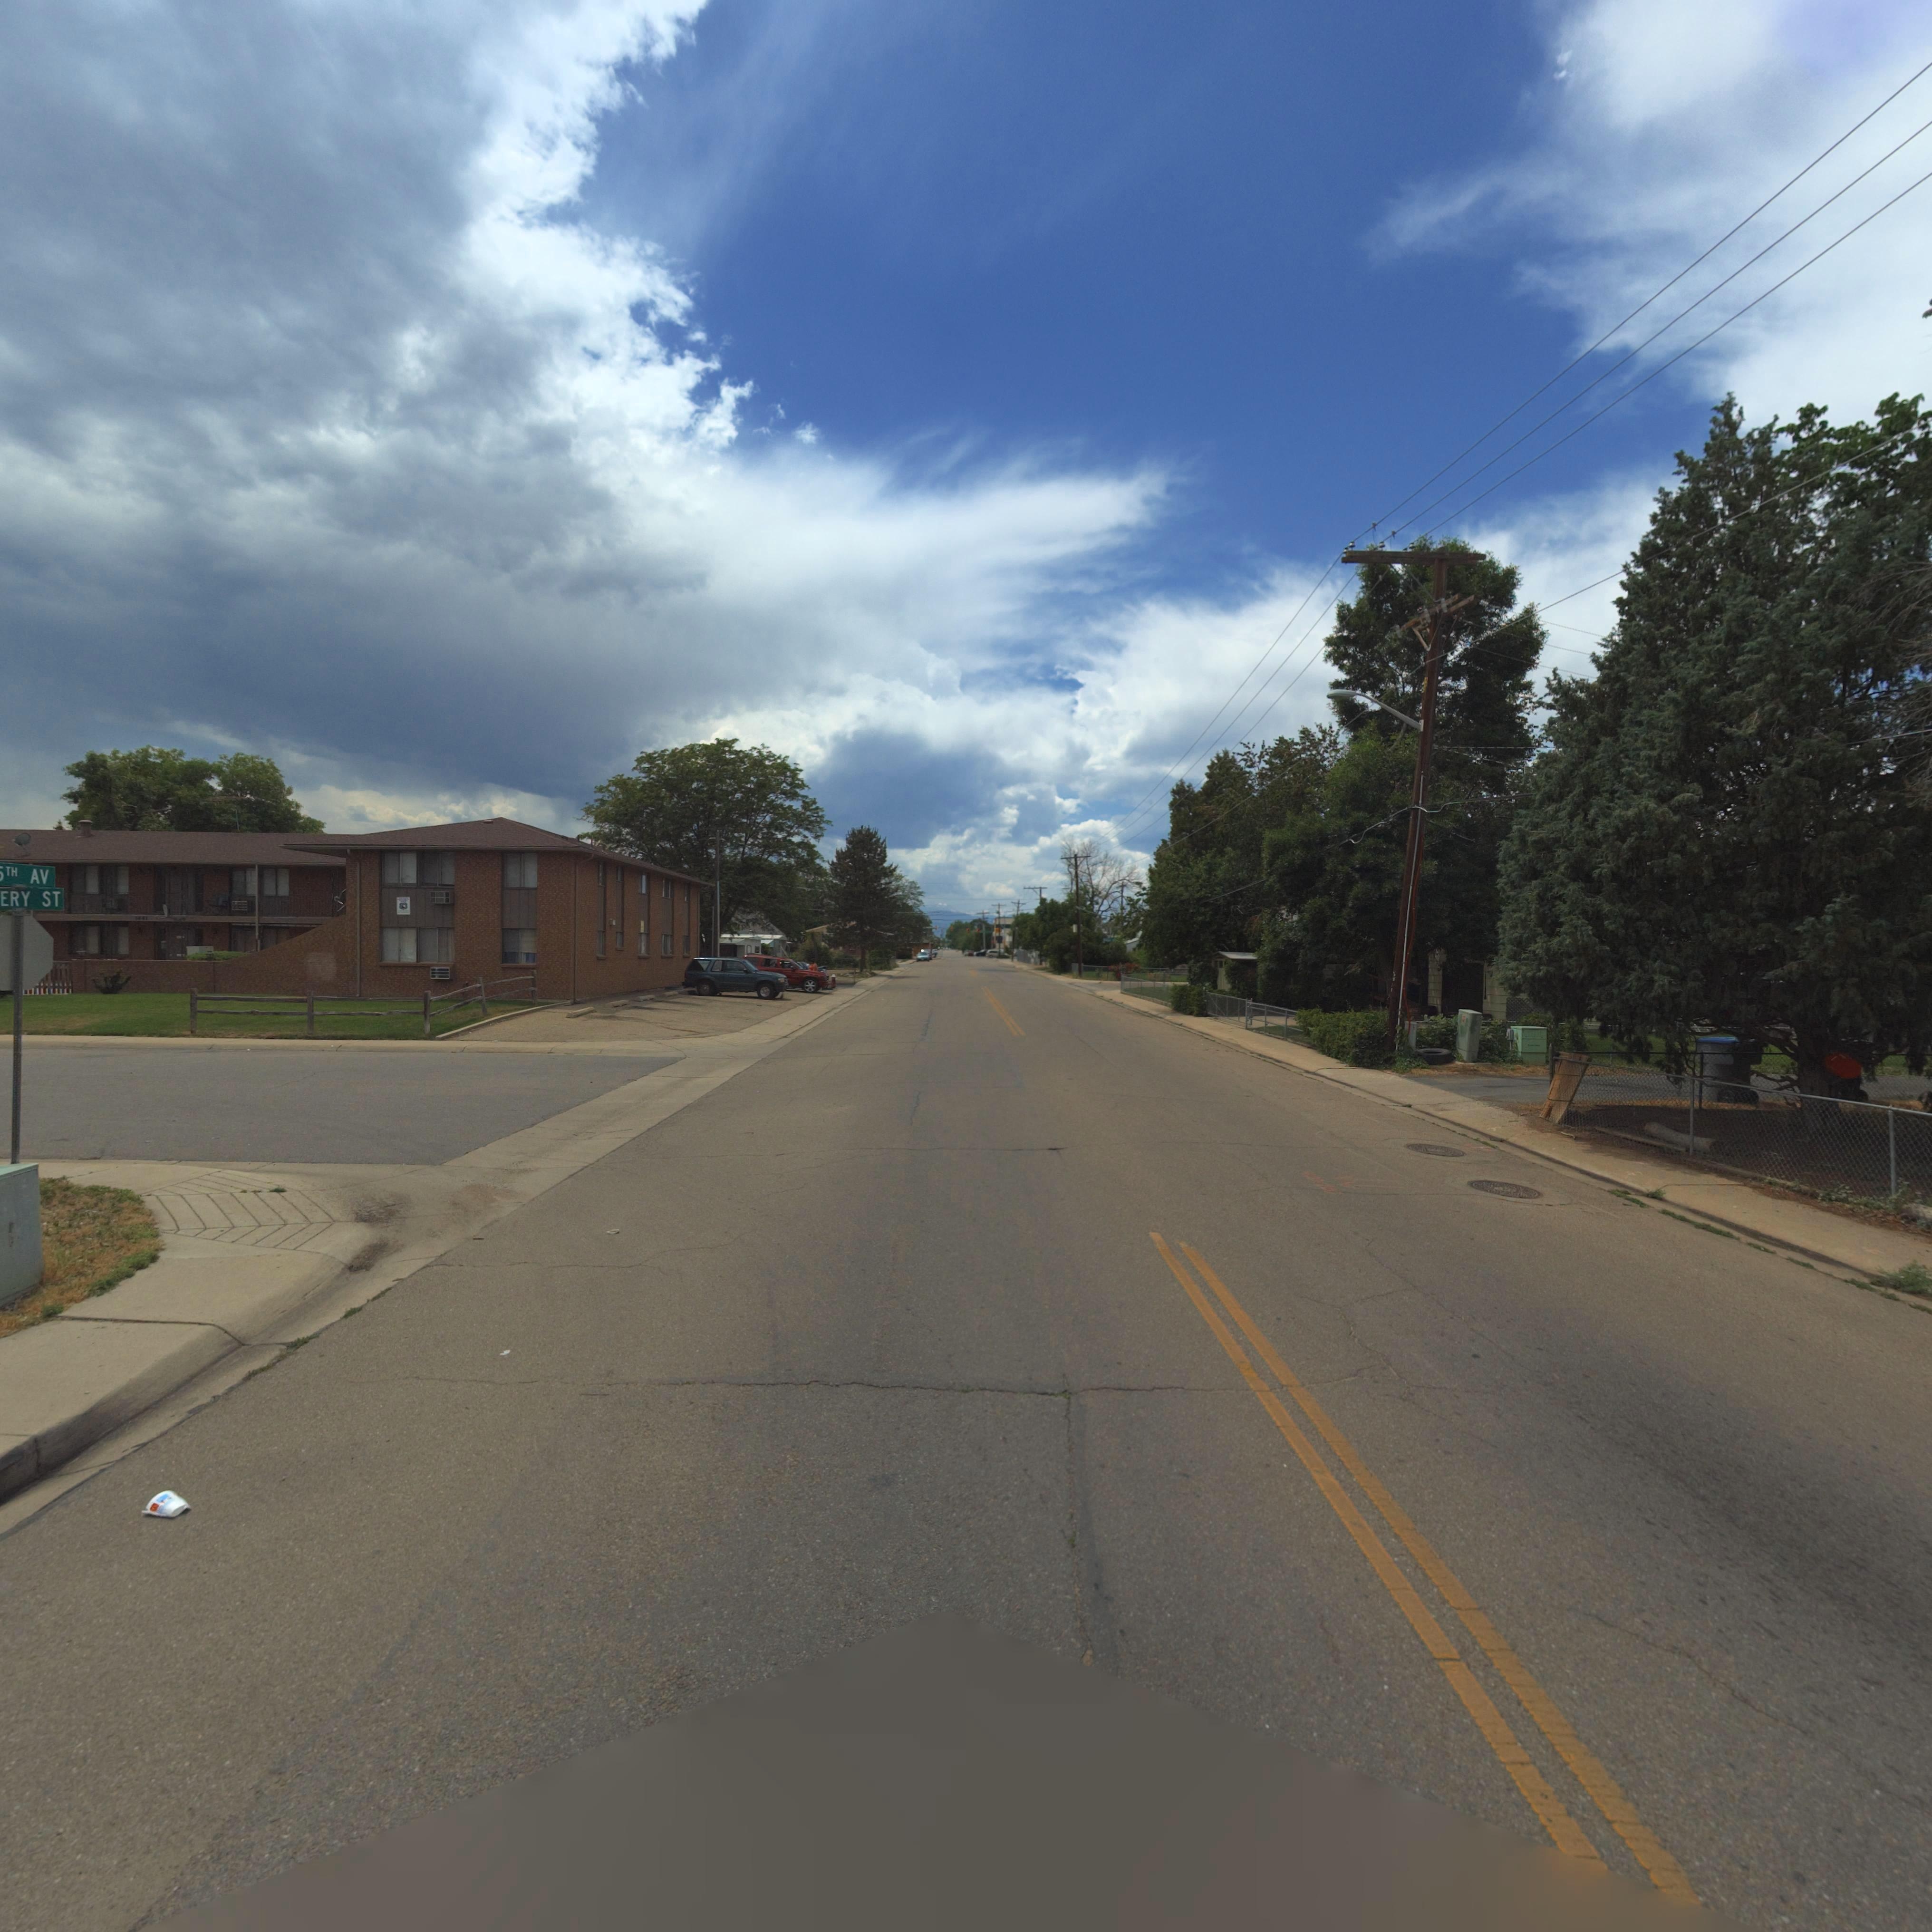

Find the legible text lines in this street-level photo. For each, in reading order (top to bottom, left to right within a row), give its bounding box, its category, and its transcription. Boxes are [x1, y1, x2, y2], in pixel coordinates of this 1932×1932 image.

[5, 866, 49, 885] StreetName: TH AV
[0, 890, 61, 907] StreetName: ERY ST
[135, 916, 148, 920] StreetNumber: 1441